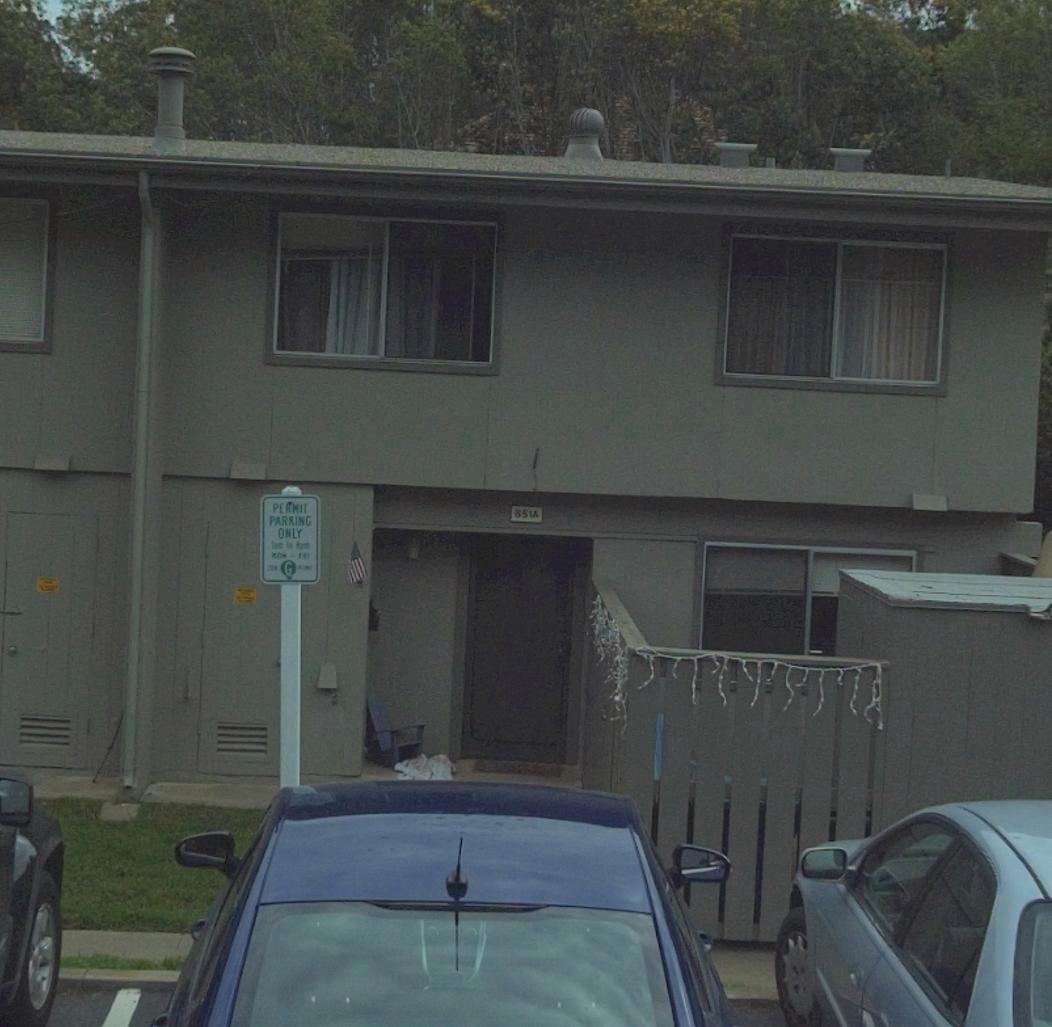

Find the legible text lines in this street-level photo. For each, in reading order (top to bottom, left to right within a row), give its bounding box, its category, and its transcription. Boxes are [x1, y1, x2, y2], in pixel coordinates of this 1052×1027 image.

[273, 501, 308, 514] None: PERMIT
[514, 508, 539, 519] StreetNumber: 851A
[269, 515, 313, 527] None: PARKING
[277, 527, 303, 539] None: ONLY
[284, 561, 293, 577] None: G